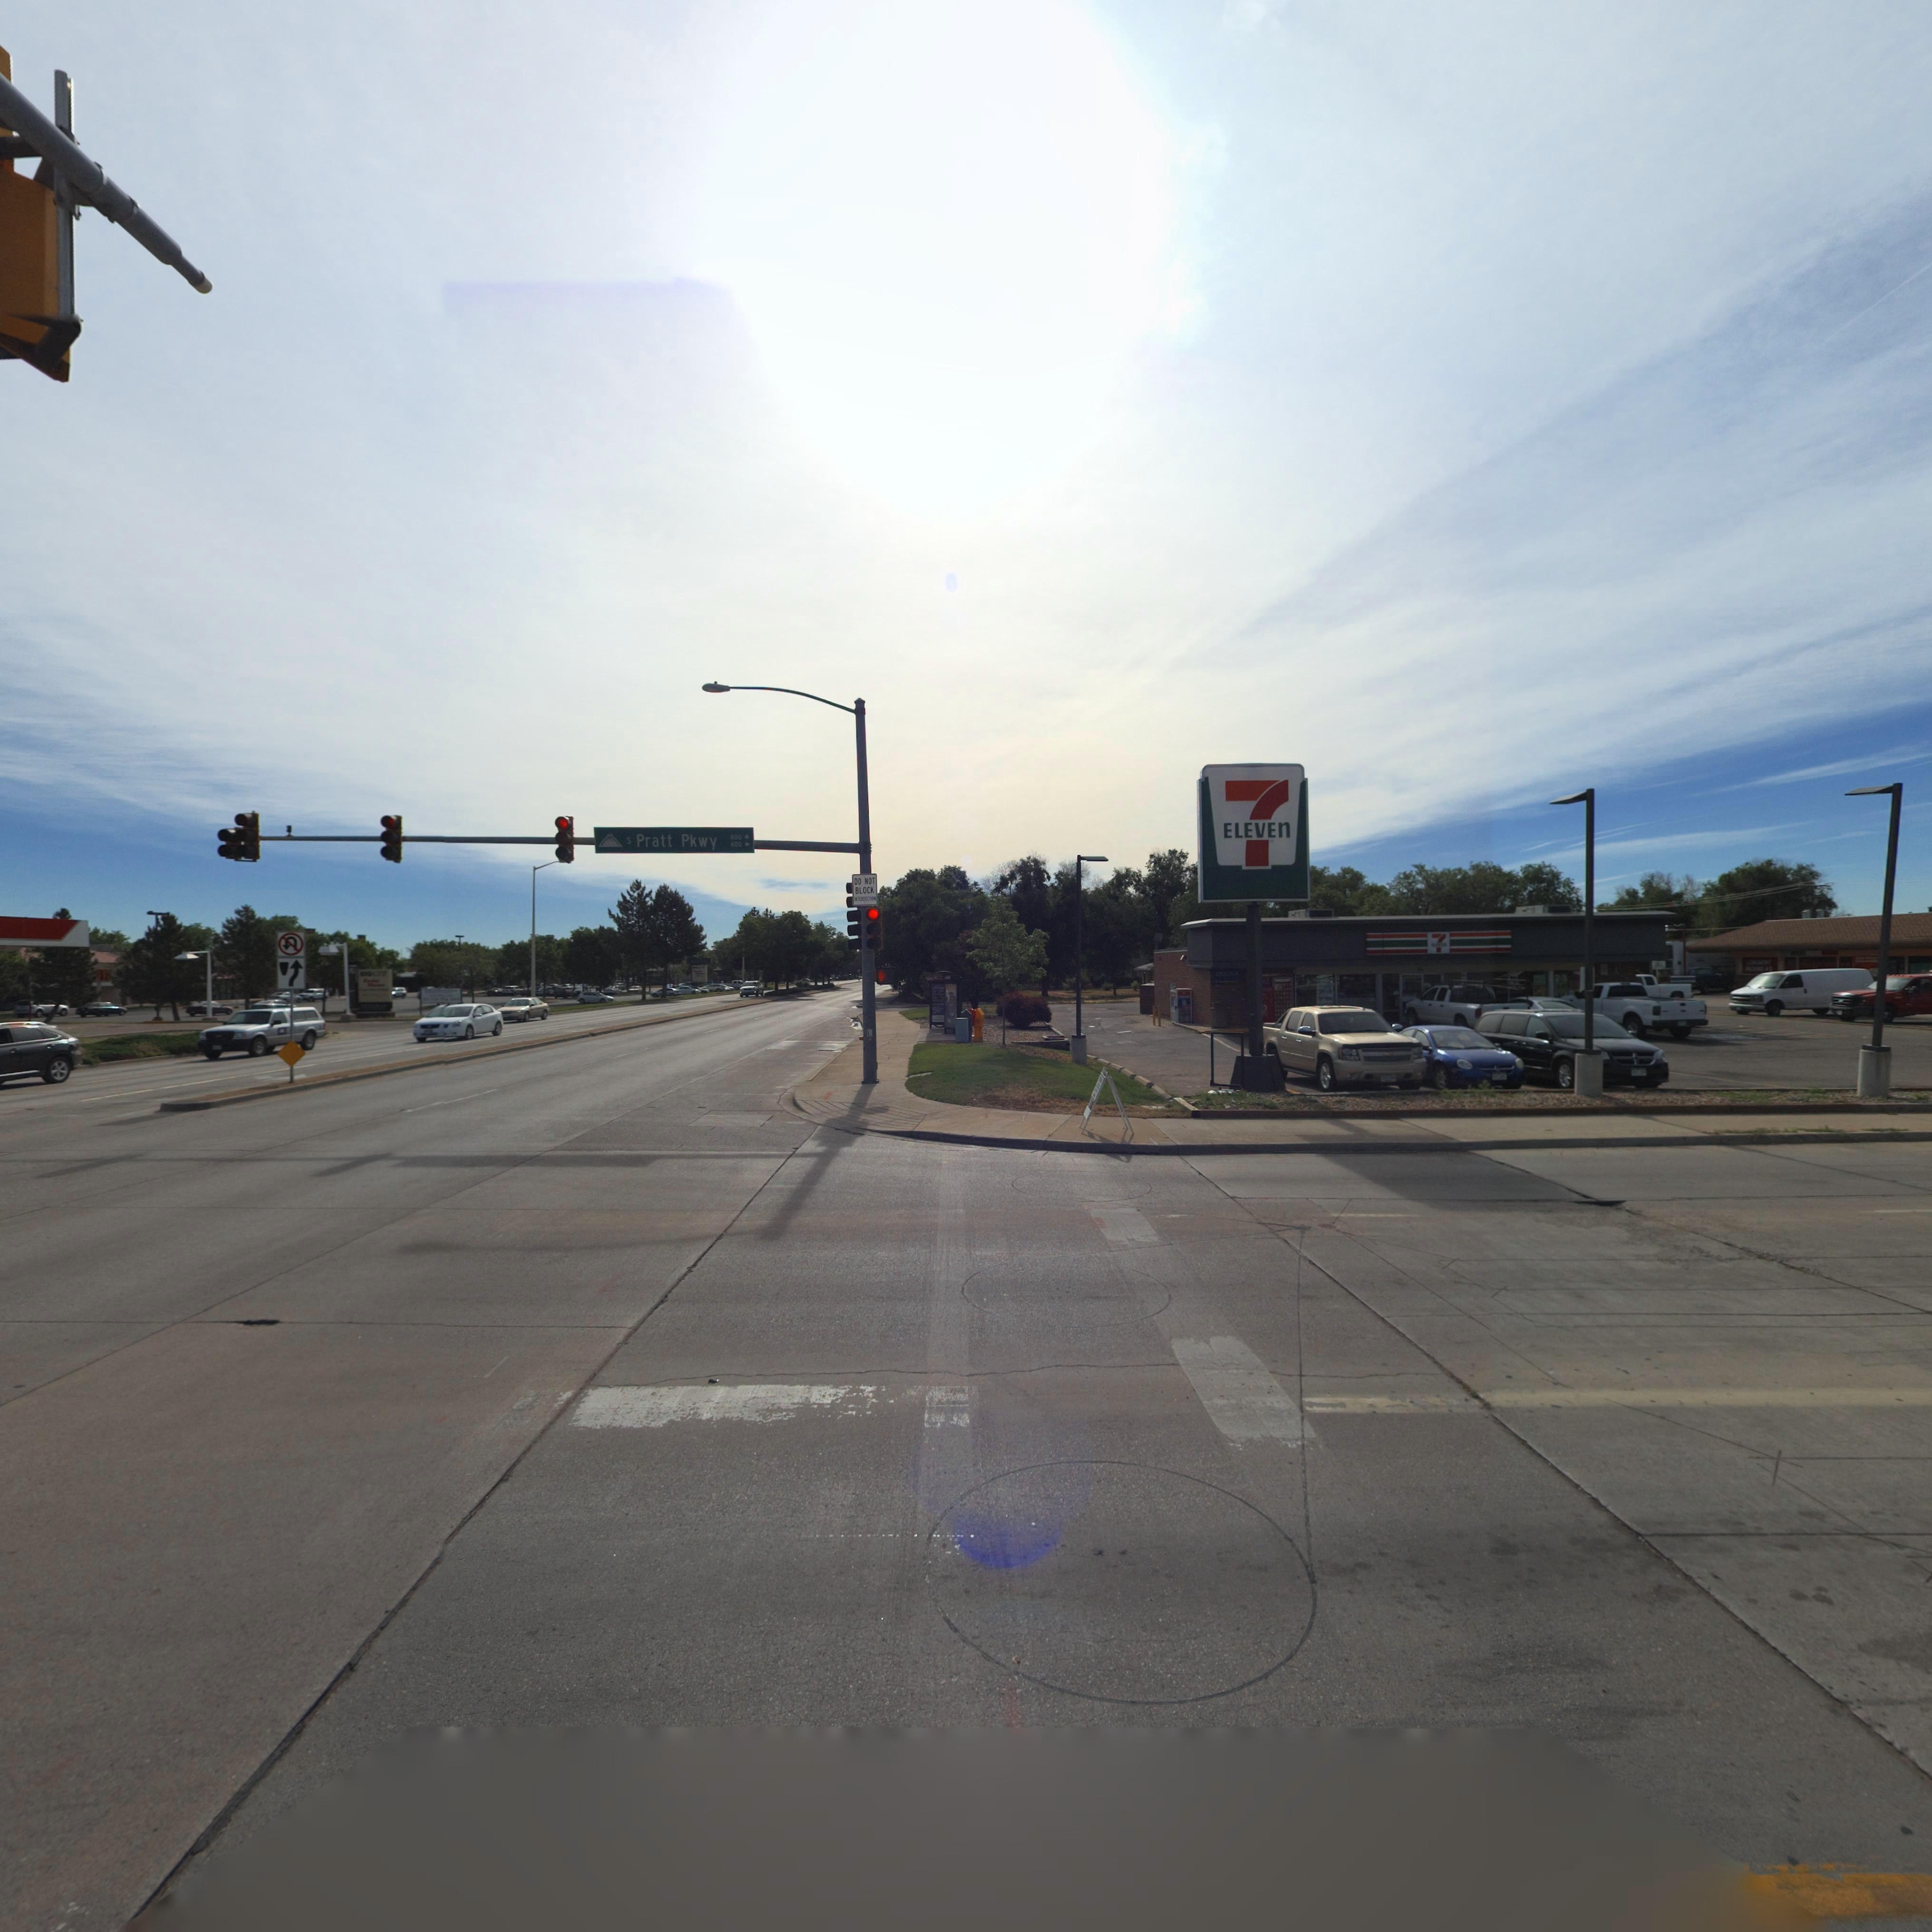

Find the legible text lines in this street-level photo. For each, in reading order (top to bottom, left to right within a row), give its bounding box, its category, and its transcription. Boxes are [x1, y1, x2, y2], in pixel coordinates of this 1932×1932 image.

[626, 833, 718, 850] StreetName: S Pratt Pkwy
[730, 834, 742, 840] StreetNumberRange: 800
[730, 841, 750, 847] StreetNumberRange: 600->
[1224, 778, 1289, 867] BusinessName: 7
[1224, 822, 1290, 838] BusinessName: ELEVEN
[1431, 933, 1446, 952] BusinessName: 7